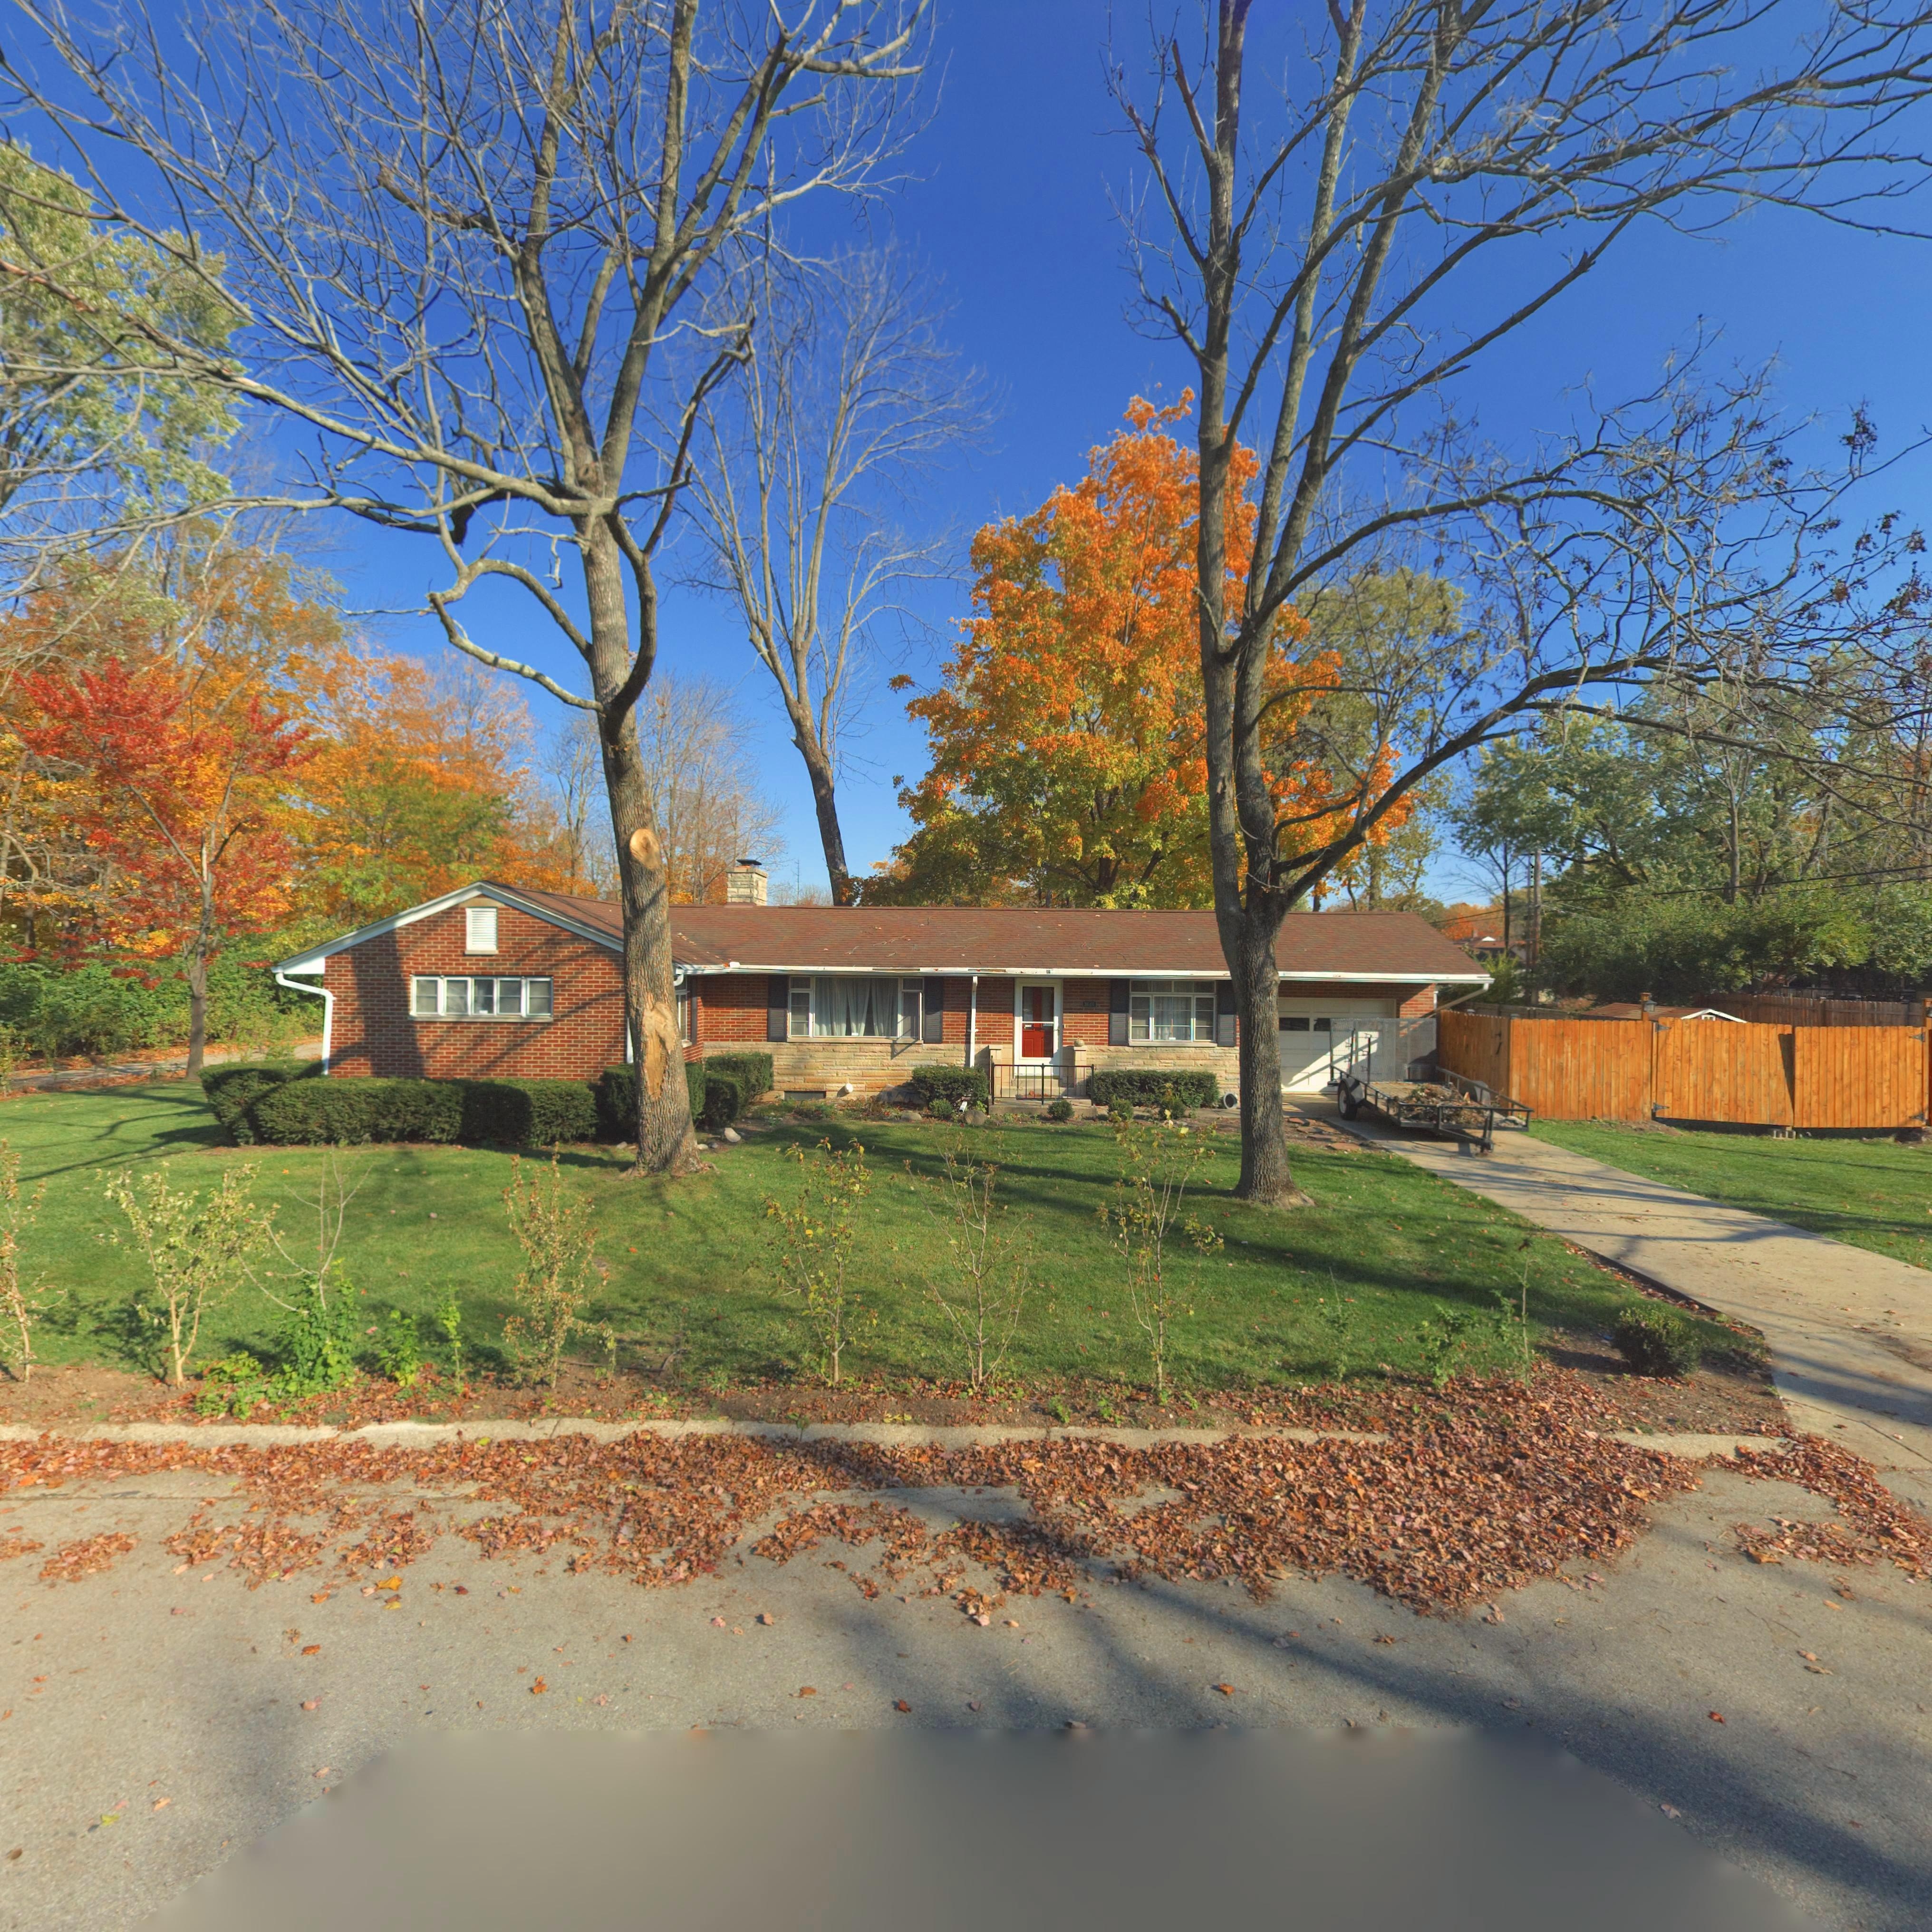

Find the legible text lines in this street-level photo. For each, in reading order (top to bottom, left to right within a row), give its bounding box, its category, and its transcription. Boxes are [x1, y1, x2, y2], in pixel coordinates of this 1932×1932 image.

[1083, 1002, 1095, 1007] None: 3*86